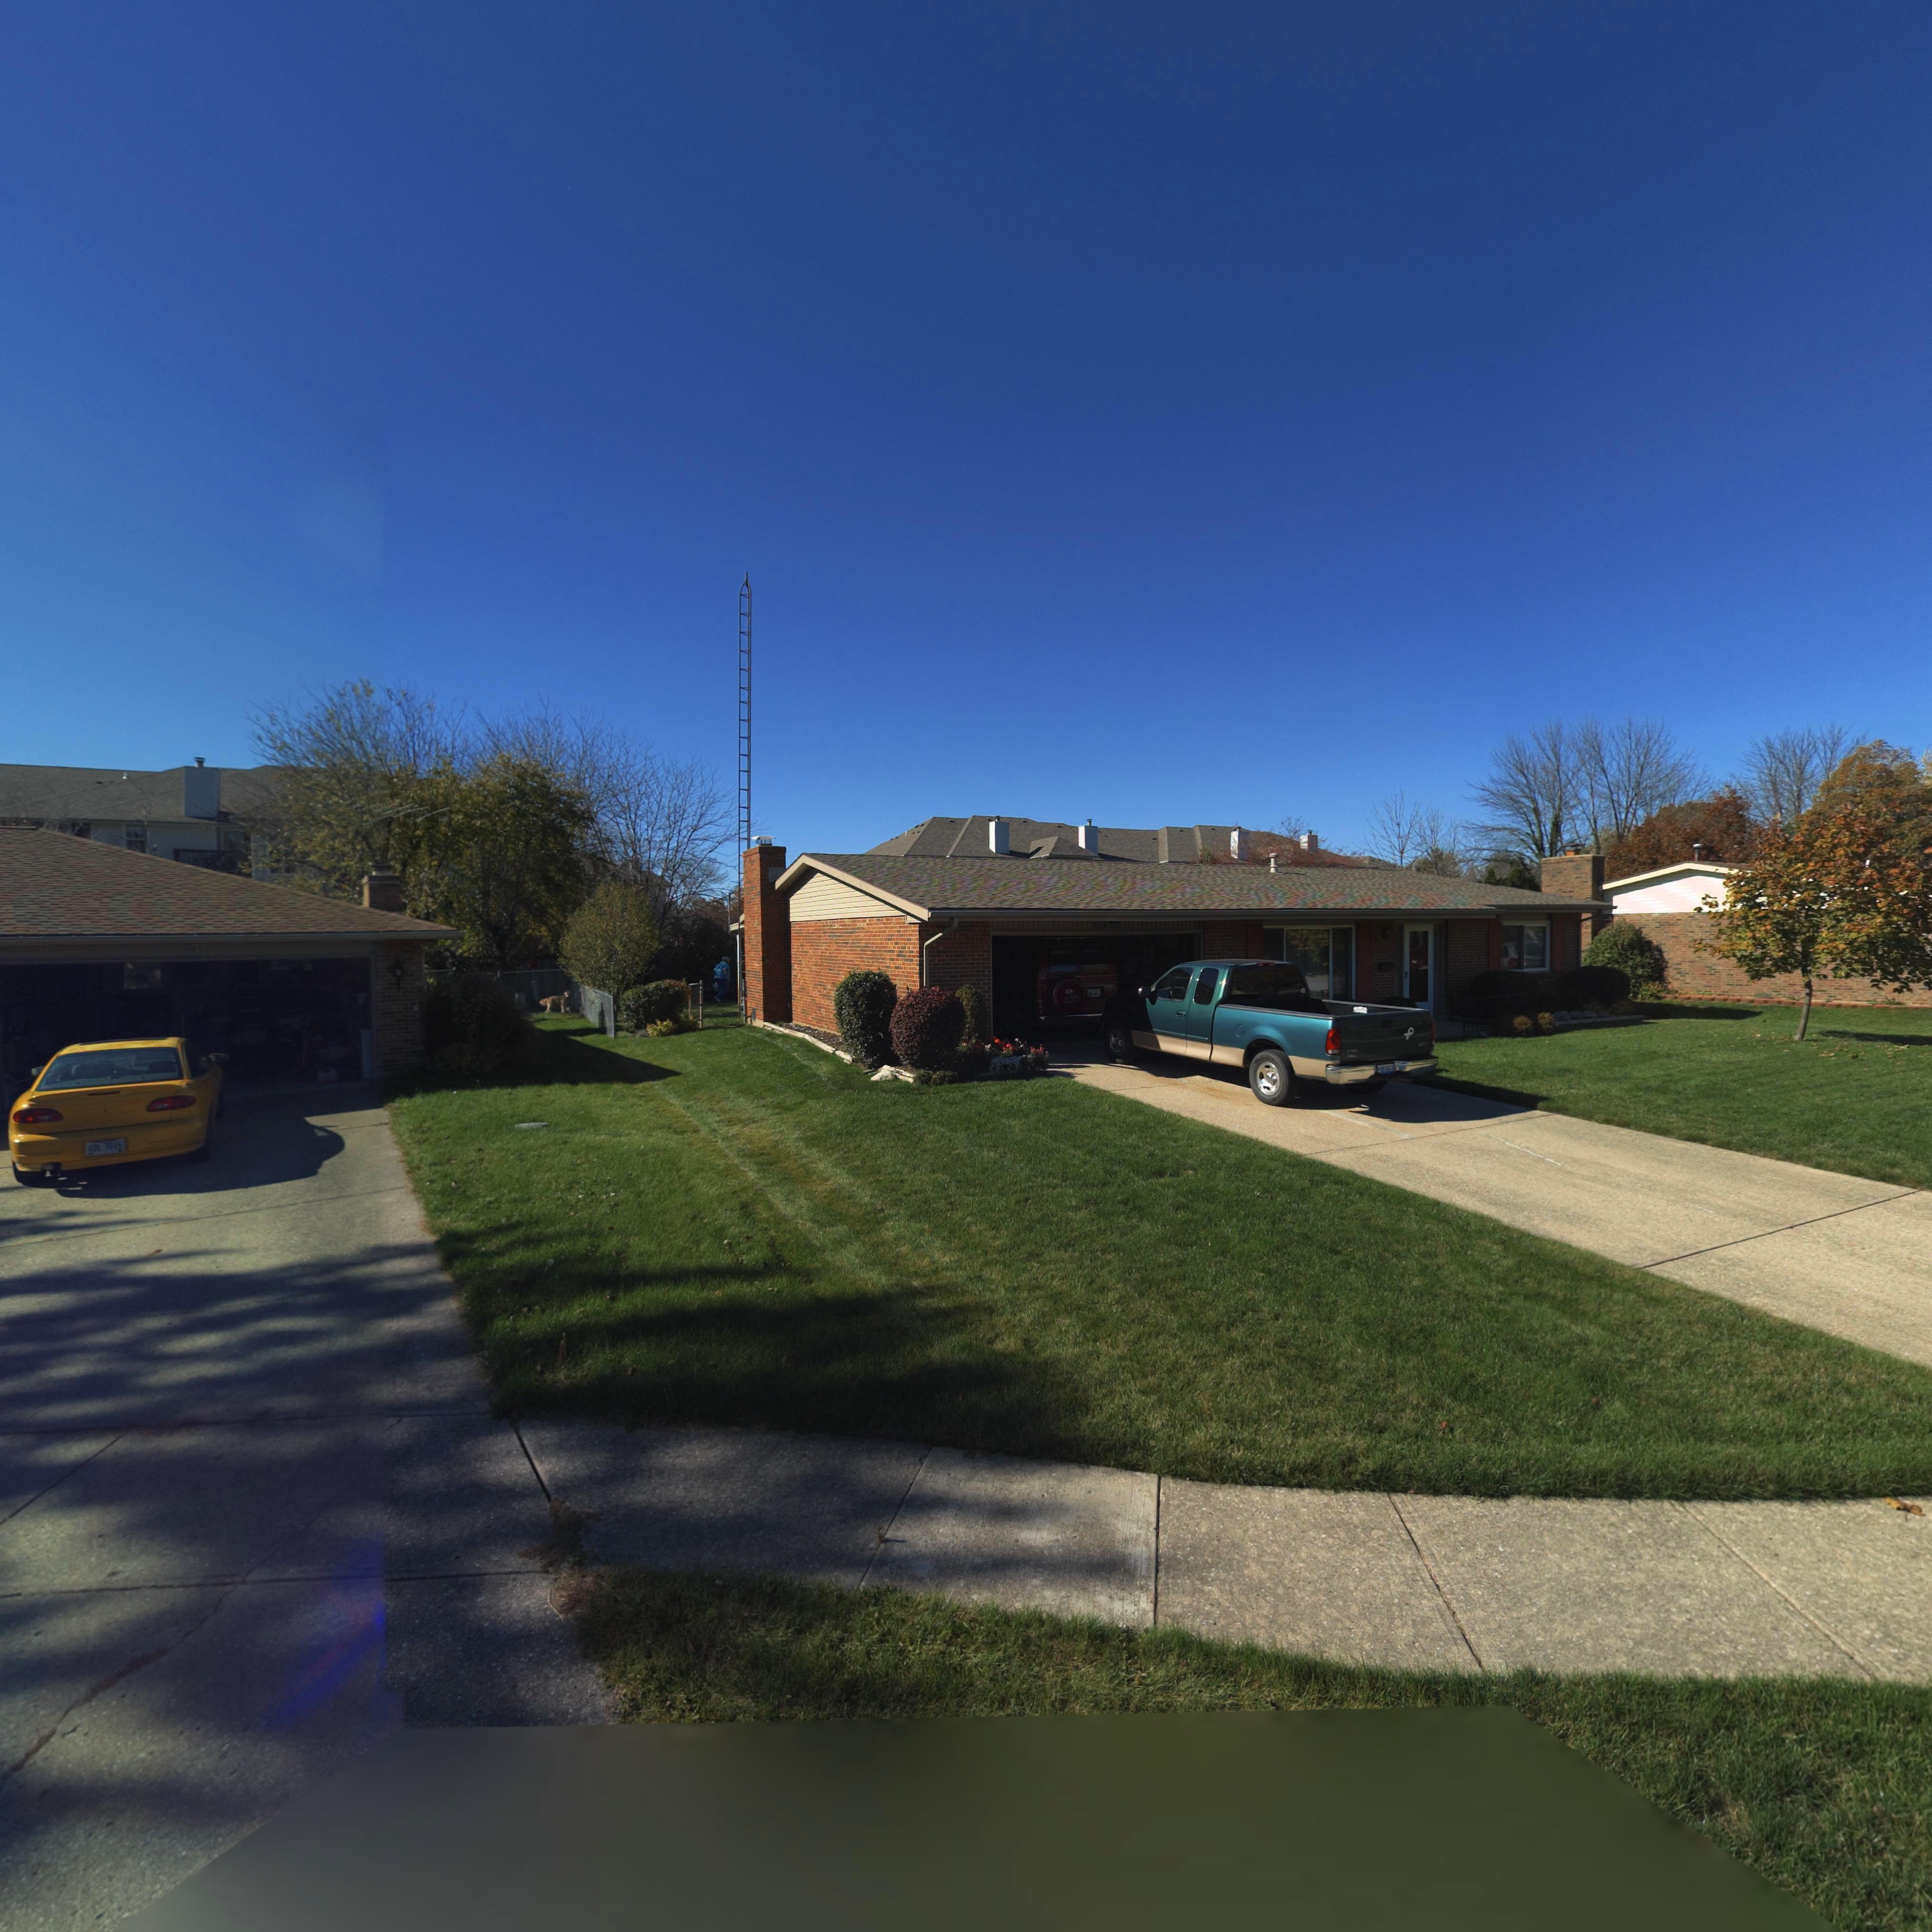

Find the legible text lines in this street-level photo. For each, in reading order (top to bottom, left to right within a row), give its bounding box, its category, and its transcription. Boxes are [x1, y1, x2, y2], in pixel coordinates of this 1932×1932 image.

[1092, 921, 1106, 929] StreetNumber: 709
[189, 945, 210, 955] StreetNumber: 711